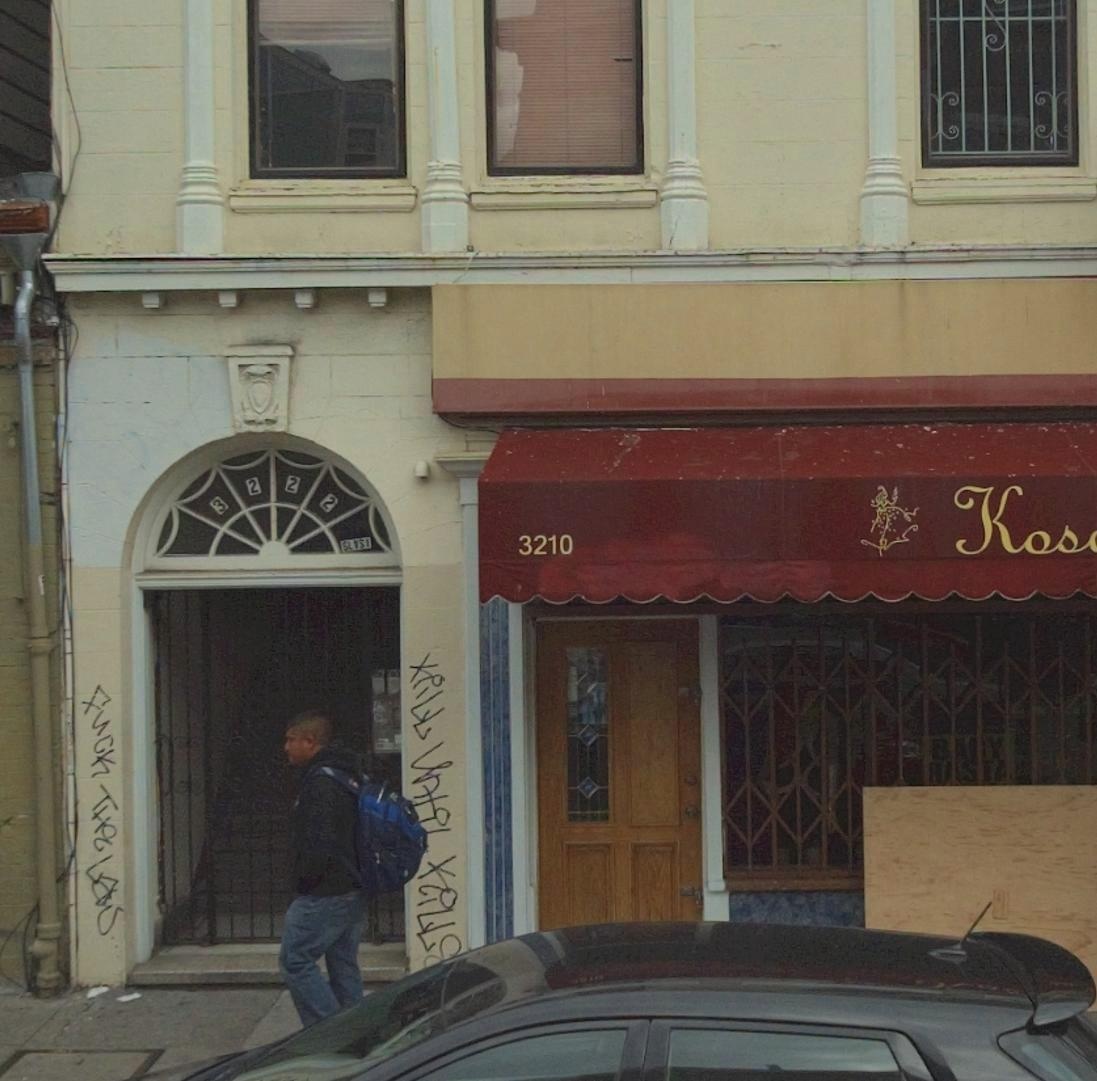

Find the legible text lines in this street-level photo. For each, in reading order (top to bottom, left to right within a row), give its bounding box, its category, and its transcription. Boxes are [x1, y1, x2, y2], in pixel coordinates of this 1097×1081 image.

[208, 475, 340, 515] StreetNumber: 3222
[950, 482, 1081, 555] BusinessName: Kos
[341, 536, 372, 552] None: 5LV31
[517, 533, 575, 556] StreetNumber: 3210